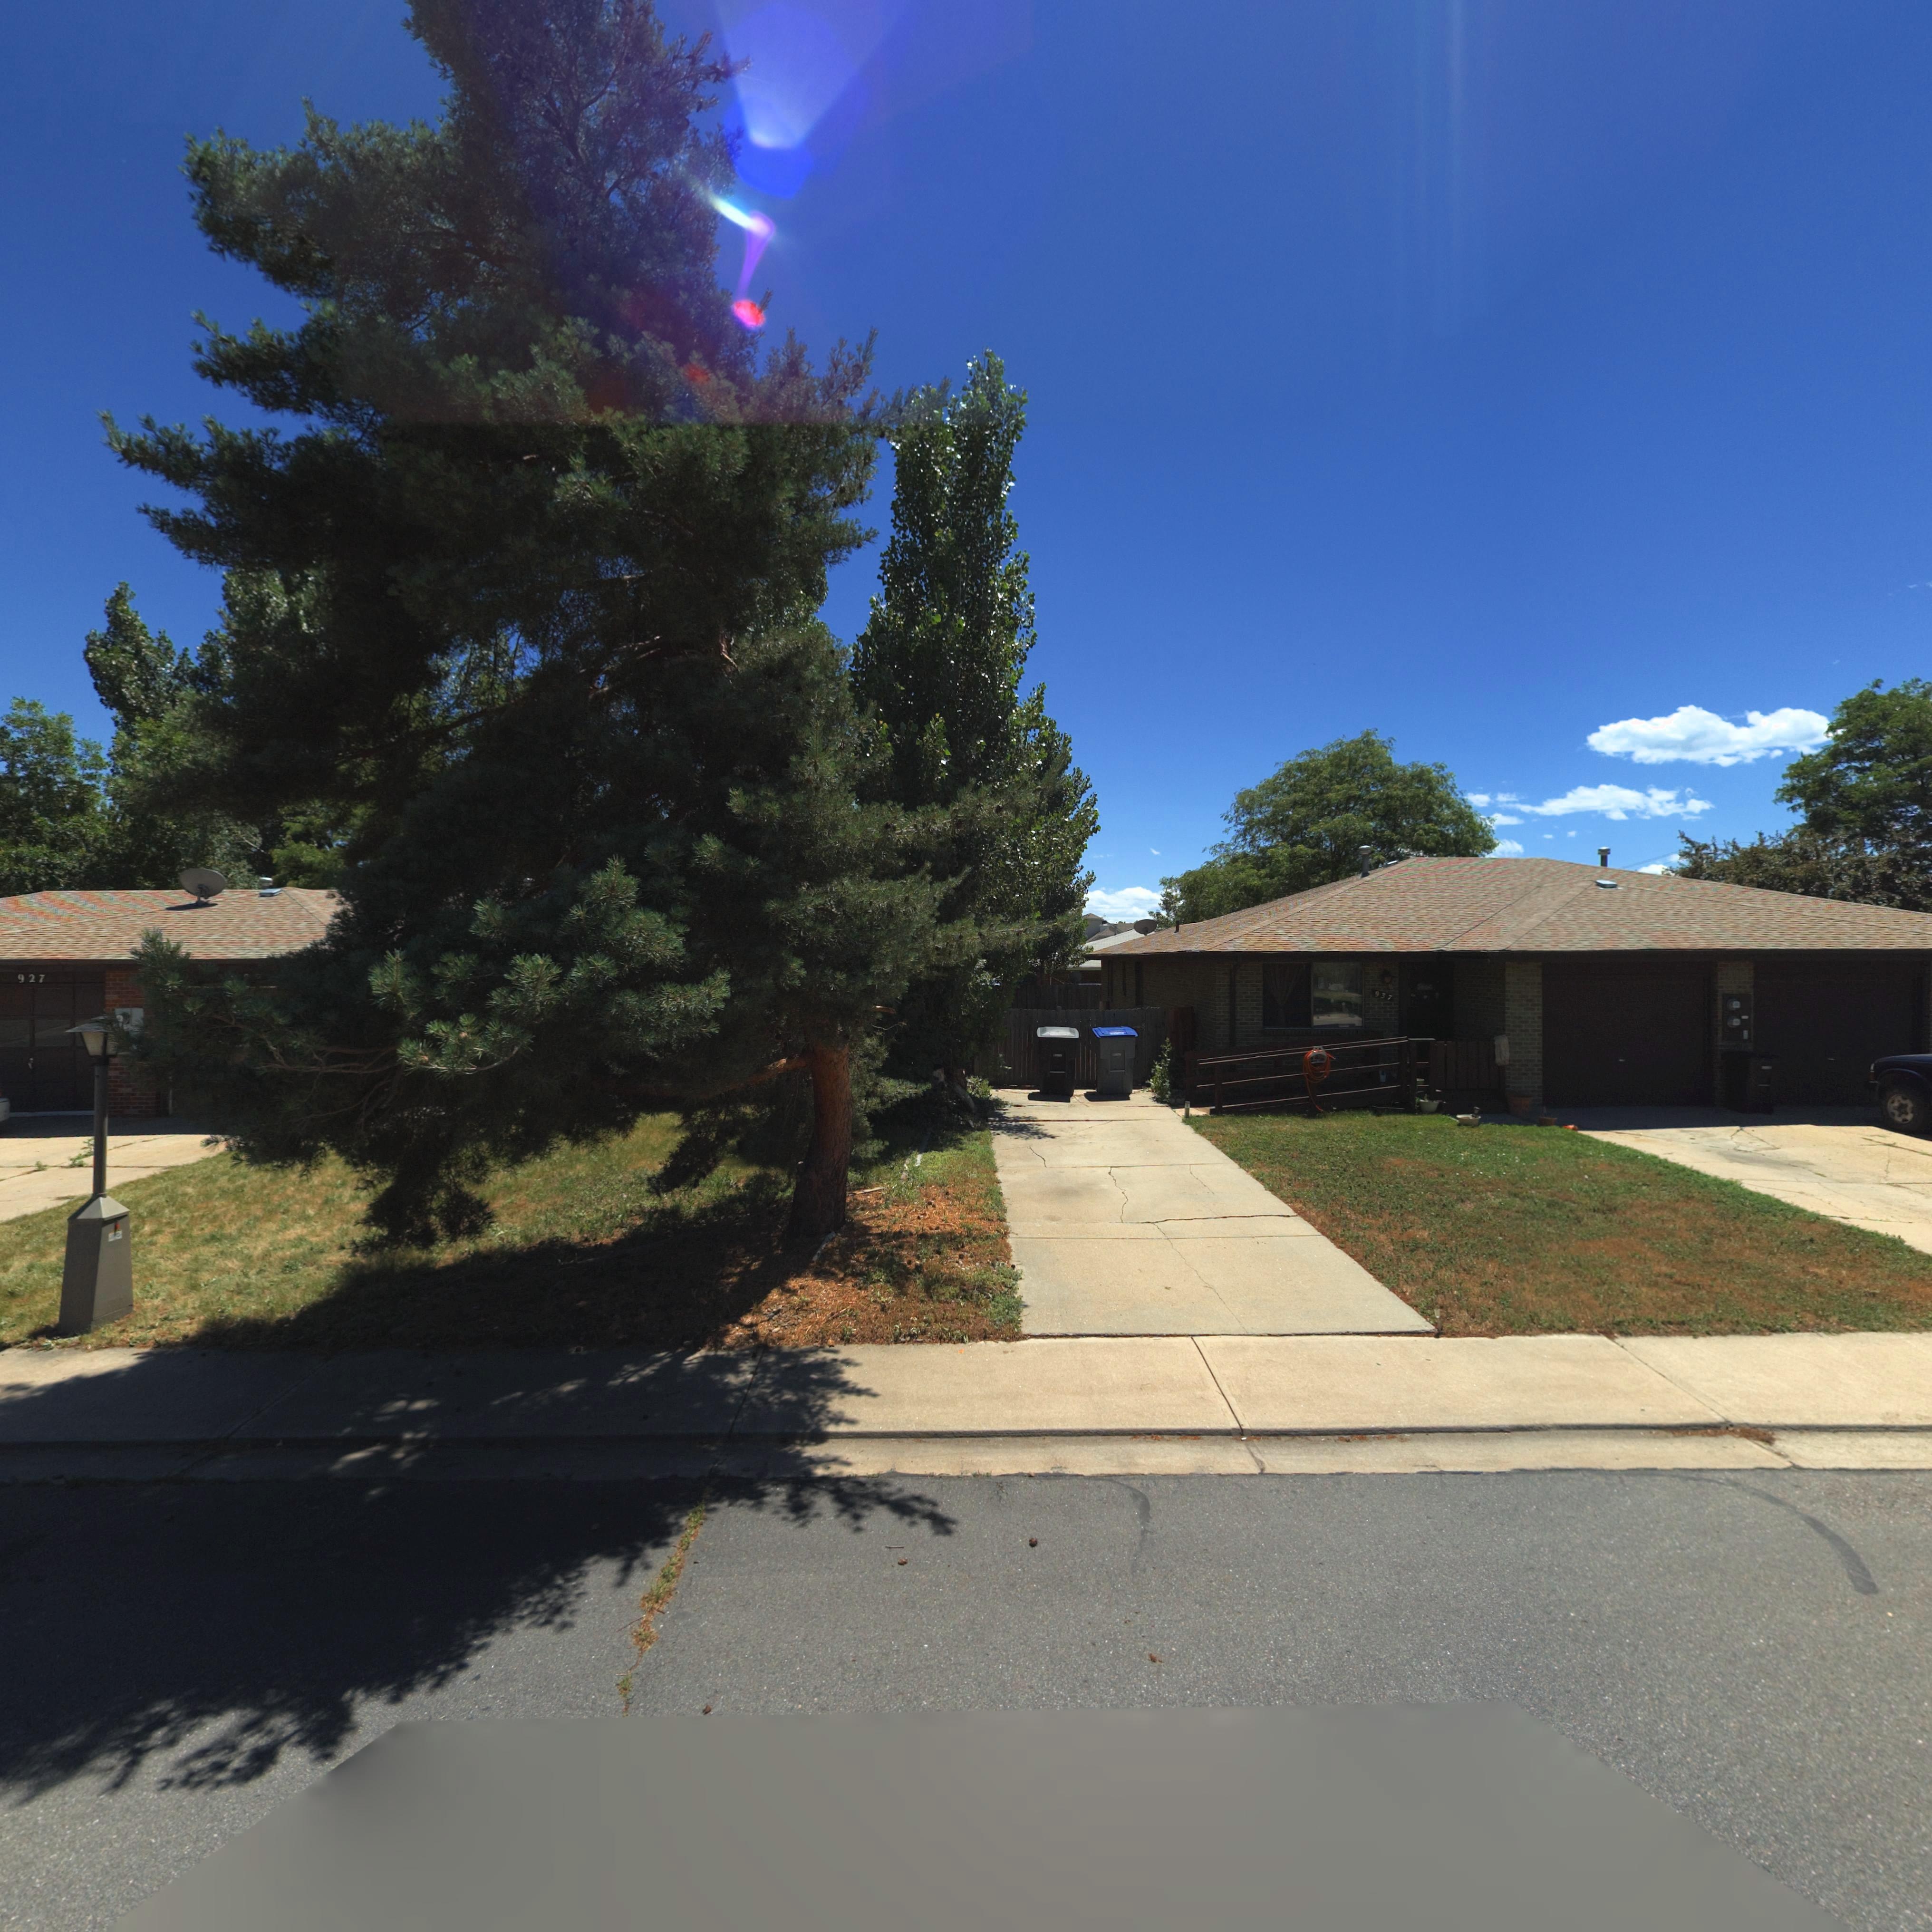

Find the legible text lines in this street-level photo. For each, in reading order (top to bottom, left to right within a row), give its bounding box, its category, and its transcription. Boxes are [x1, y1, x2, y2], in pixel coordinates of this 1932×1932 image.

[17, 973, 46, 983] StreetNumber: 927
[1375, 990, 1392, 1000] StreetNumber: 937